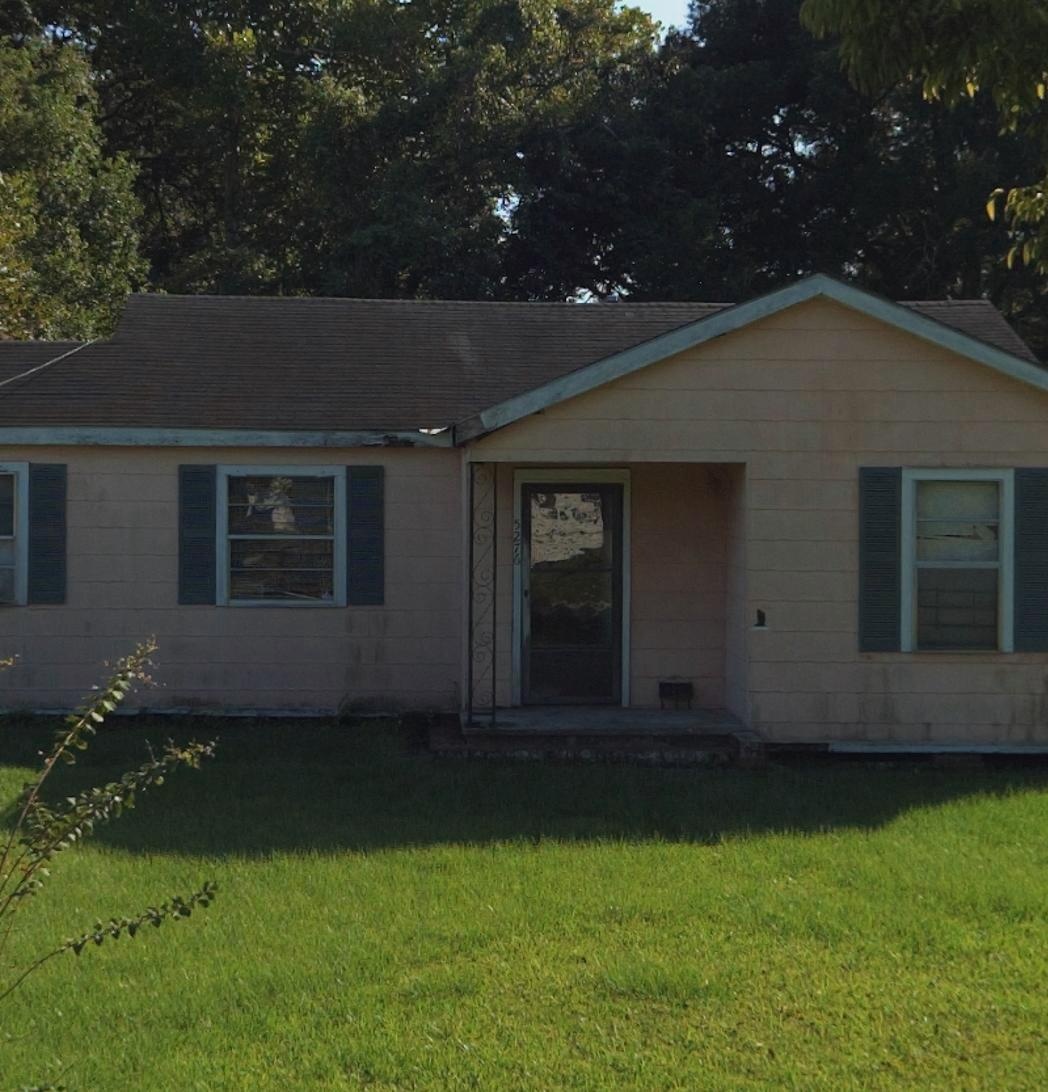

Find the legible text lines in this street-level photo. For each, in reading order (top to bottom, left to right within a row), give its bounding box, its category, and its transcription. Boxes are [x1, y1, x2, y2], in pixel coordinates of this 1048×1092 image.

[513, 518, 521, 566] StreetNumber: 5276